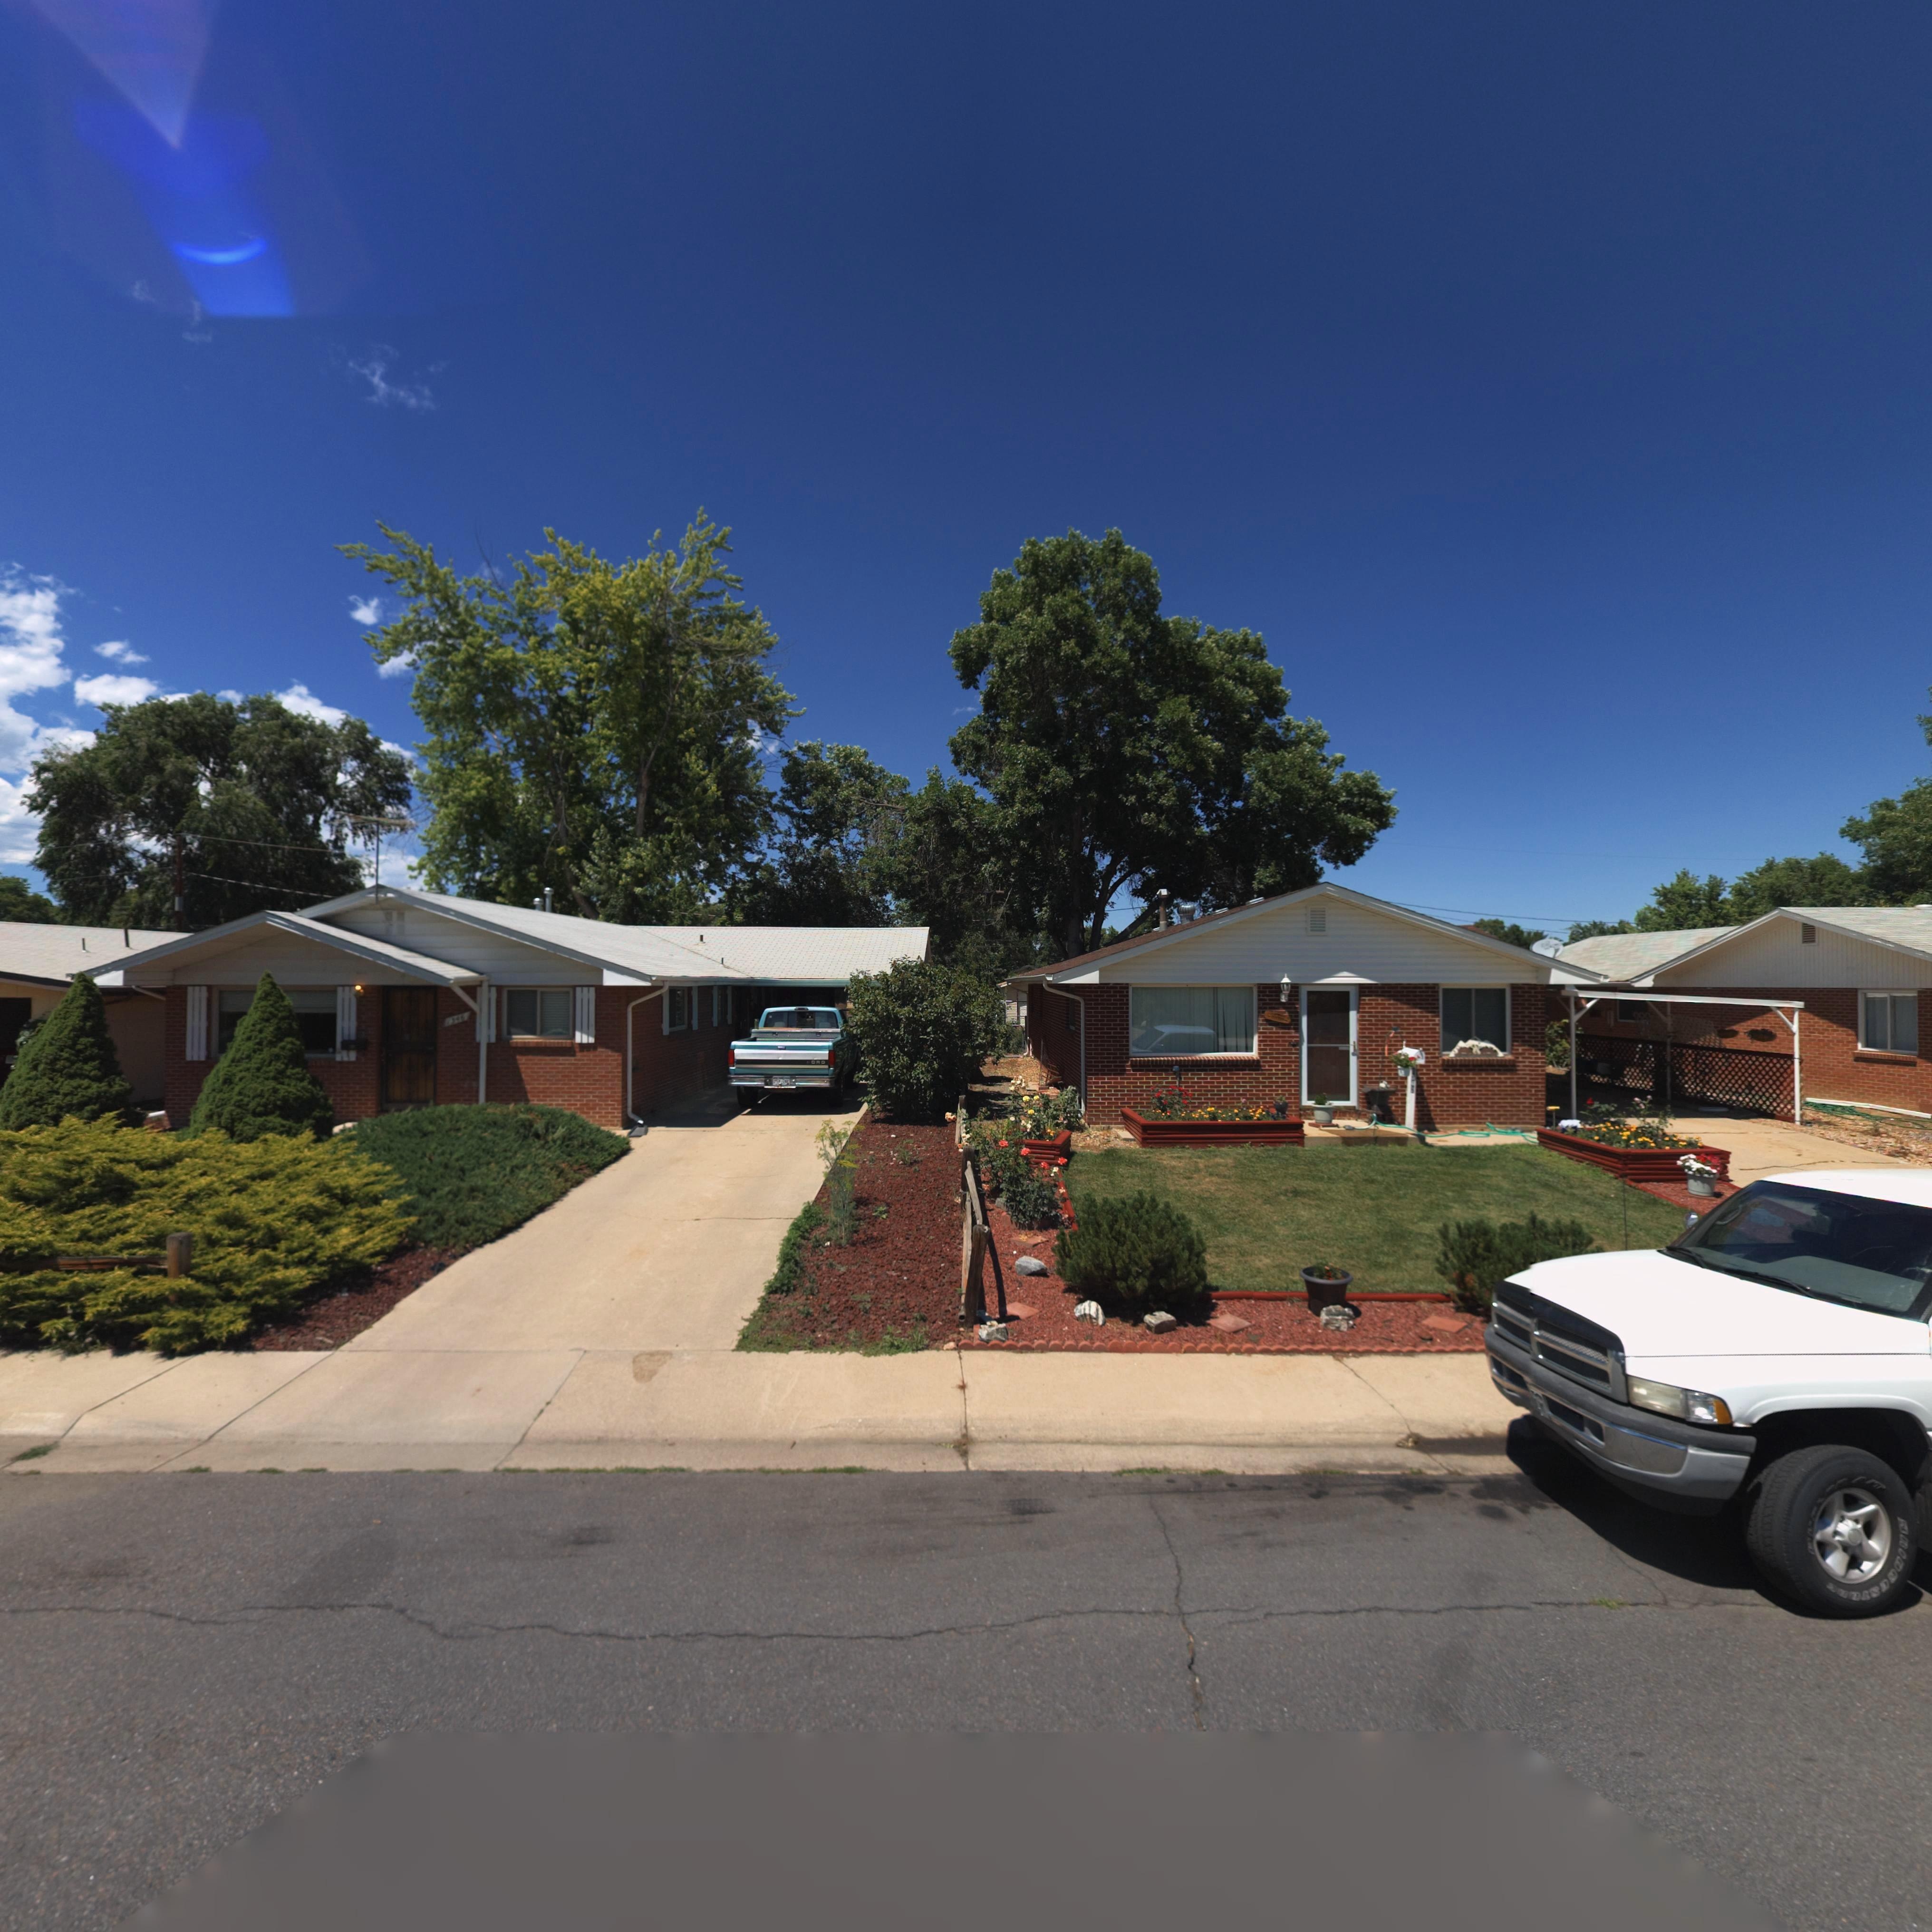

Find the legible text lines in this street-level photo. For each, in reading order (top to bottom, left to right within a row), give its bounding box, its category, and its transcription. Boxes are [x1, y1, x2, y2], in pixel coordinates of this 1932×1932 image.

[445, 1013, 466, 1027] StreetNumber: 1346